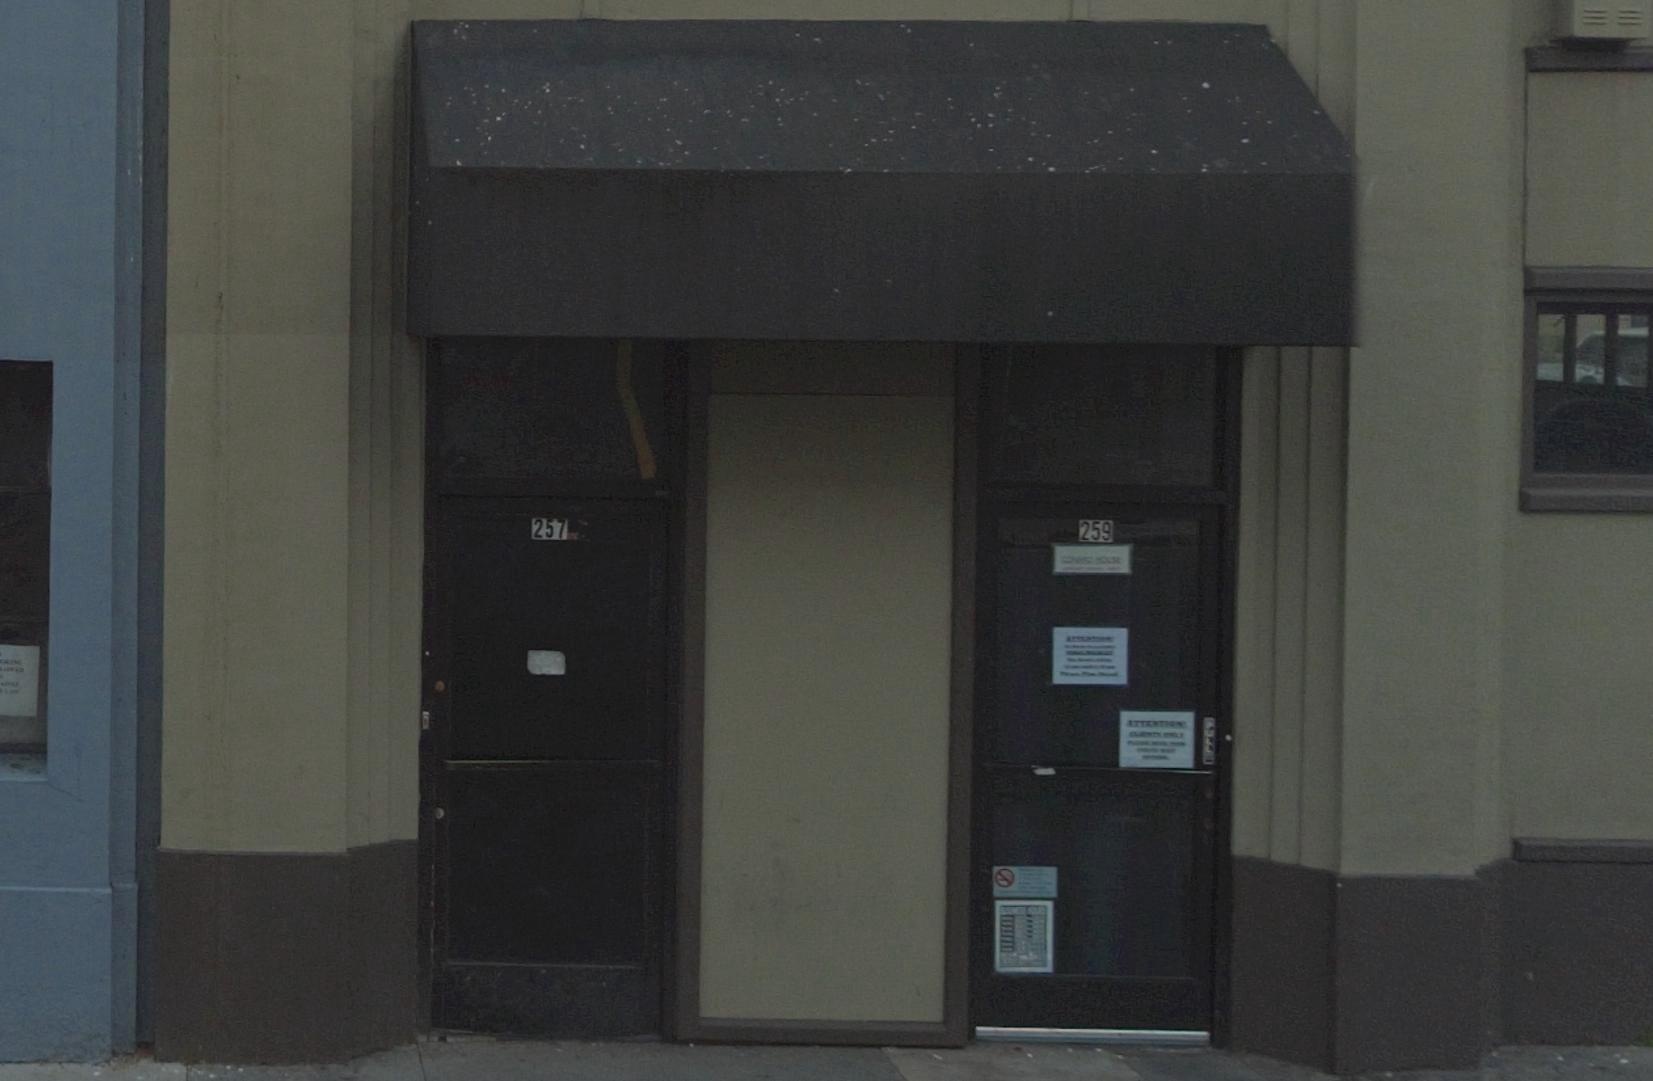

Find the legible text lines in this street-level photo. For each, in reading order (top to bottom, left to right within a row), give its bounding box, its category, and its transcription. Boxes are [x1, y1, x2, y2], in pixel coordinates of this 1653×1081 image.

[531, 518, 568, 539] StreetNumber: 257
[1079, 520, 1112, 542] StreetNumber: 259
[1202, 717, 1214, 756] None: PULL